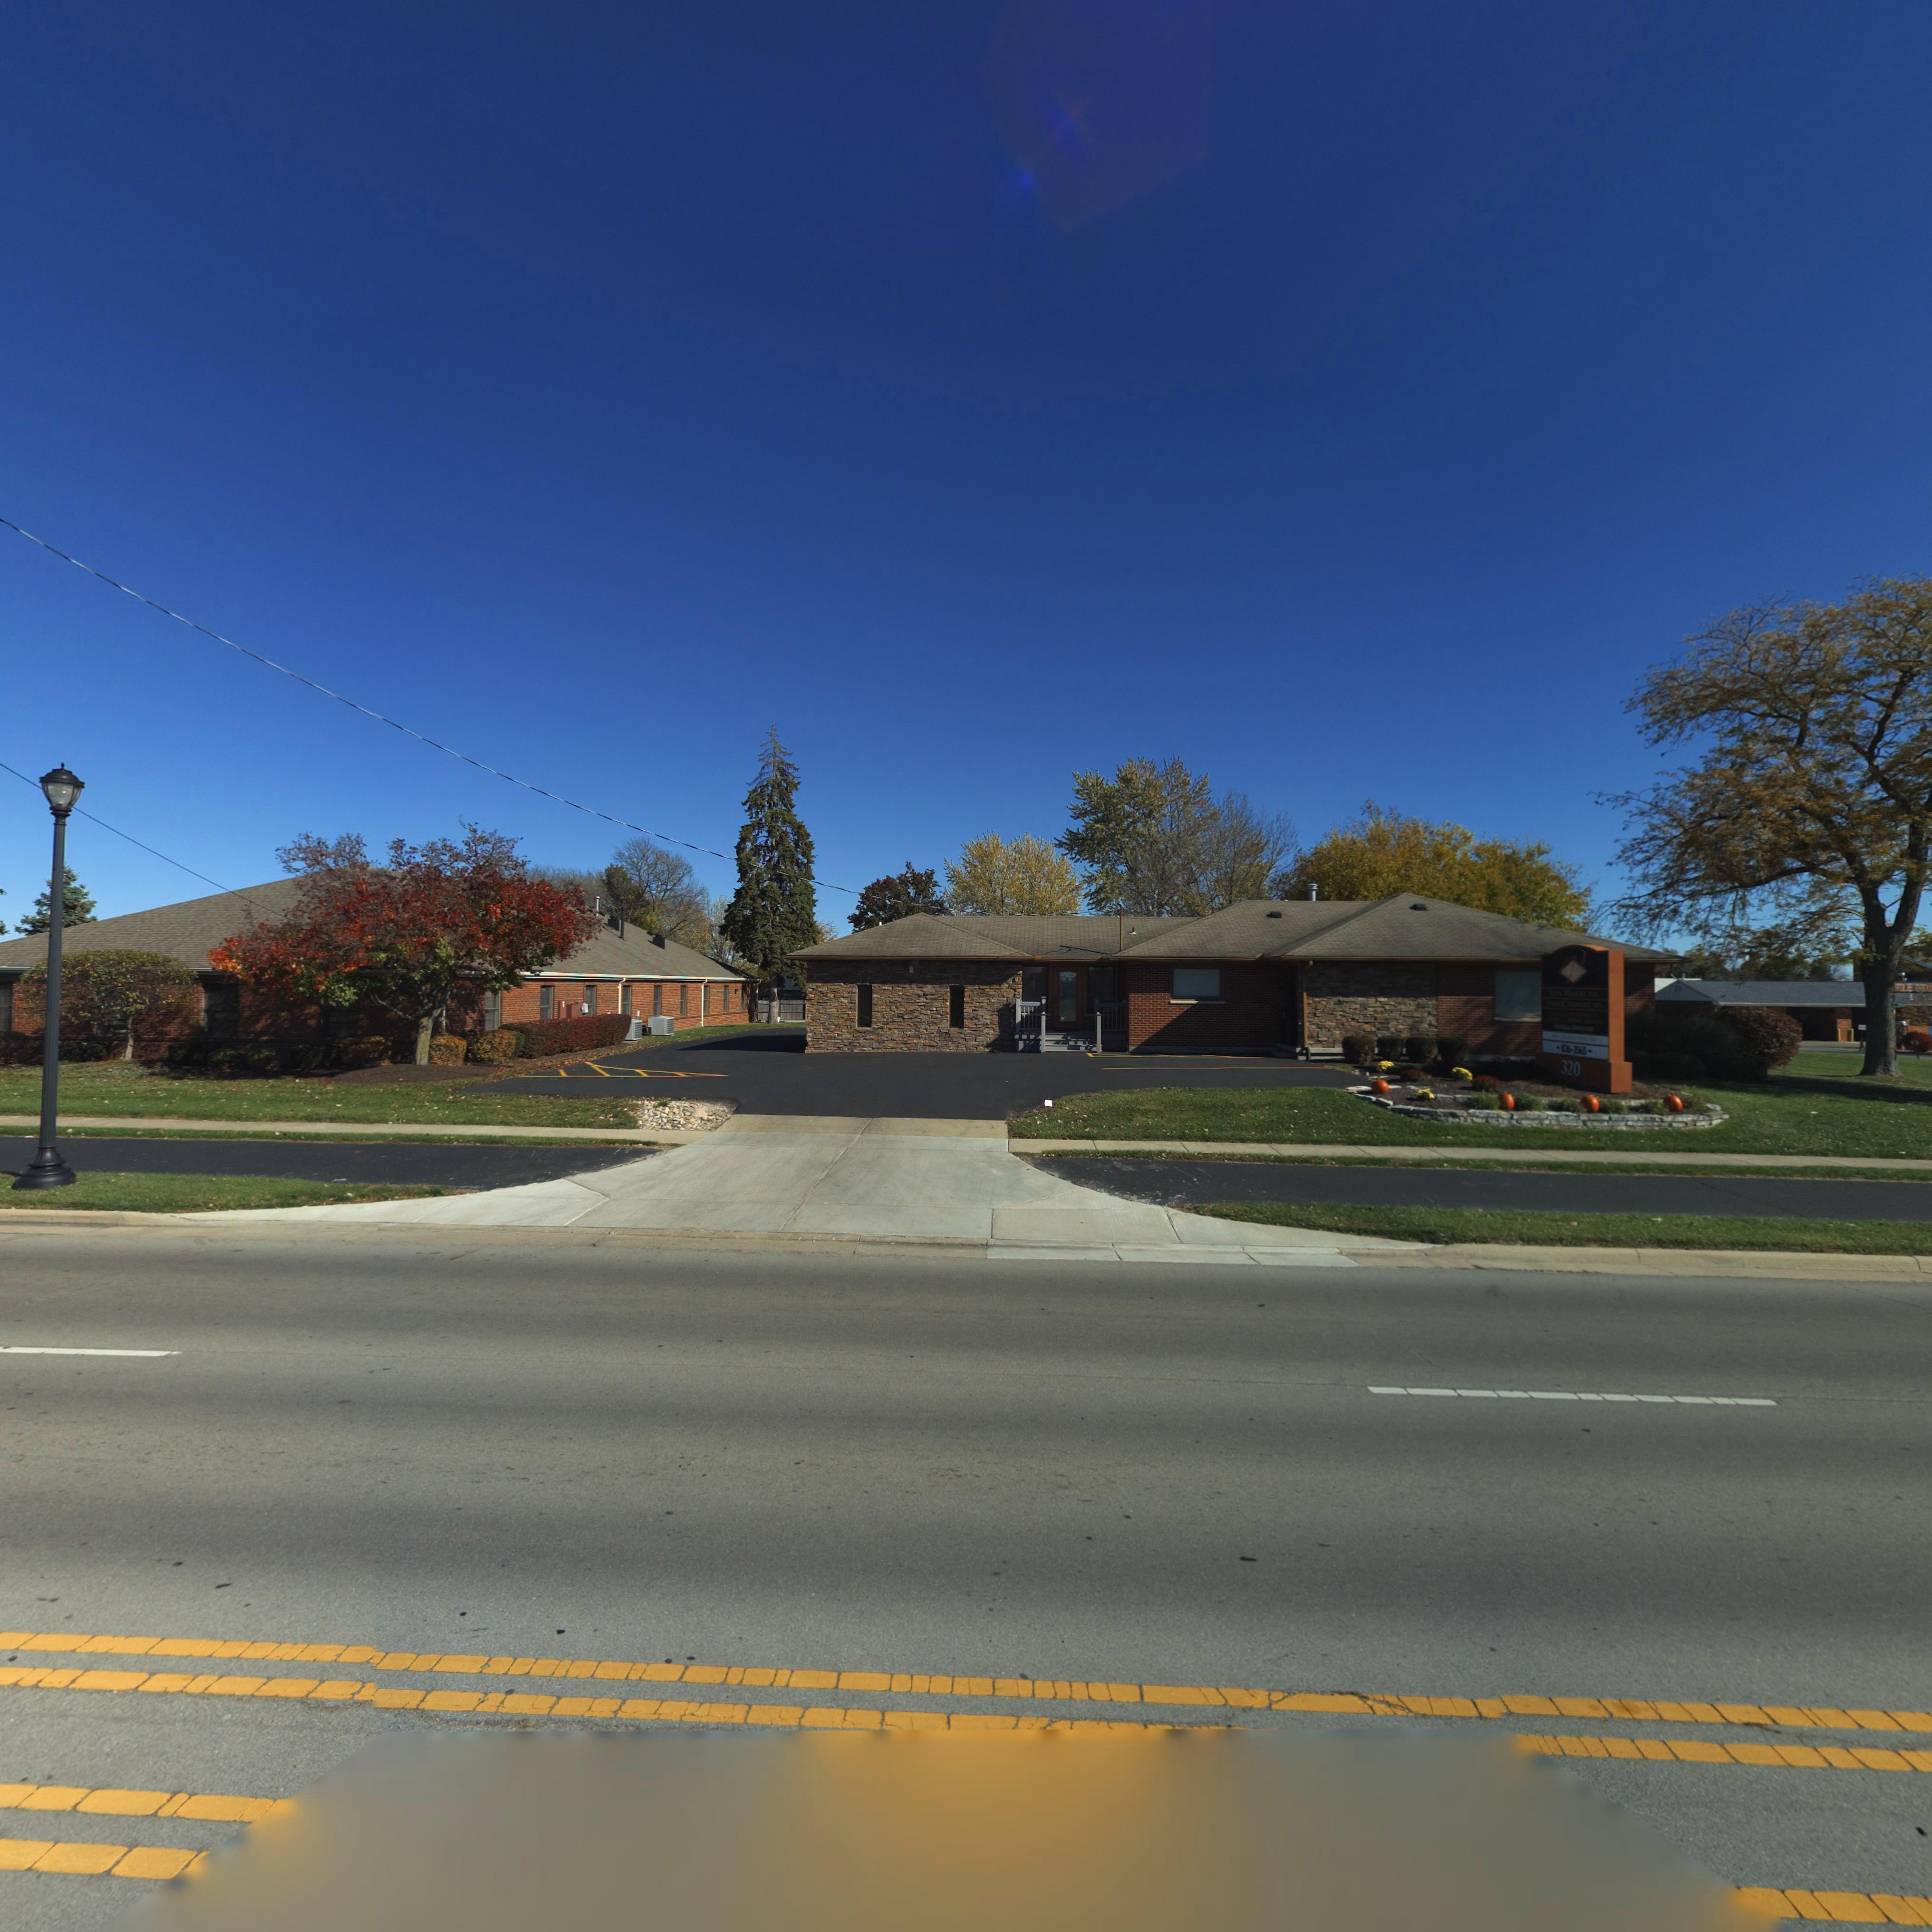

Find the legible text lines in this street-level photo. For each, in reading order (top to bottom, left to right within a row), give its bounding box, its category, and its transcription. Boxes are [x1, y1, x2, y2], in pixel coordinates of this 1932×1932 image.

[1560, 1043, 1588, 1056] None: 836-3565
[1559, 1059, 1582, 1078] StreetNumber: 320